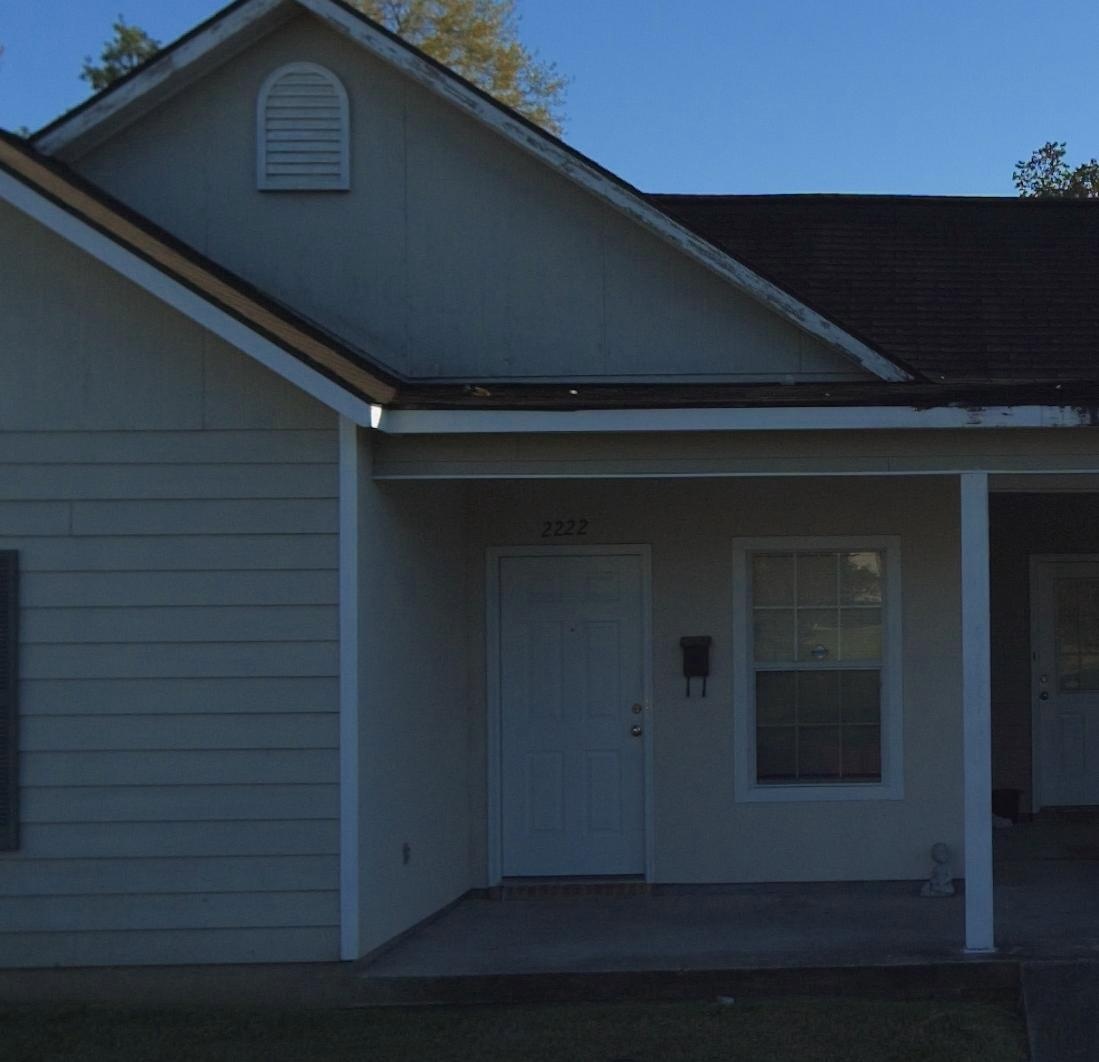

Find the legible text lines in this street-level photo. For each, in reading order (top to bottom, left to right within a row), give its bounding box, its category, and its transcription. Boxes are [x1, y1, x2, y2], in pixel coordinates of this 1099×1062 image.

[540, 517, 590, 539] StreetNumber: 2222